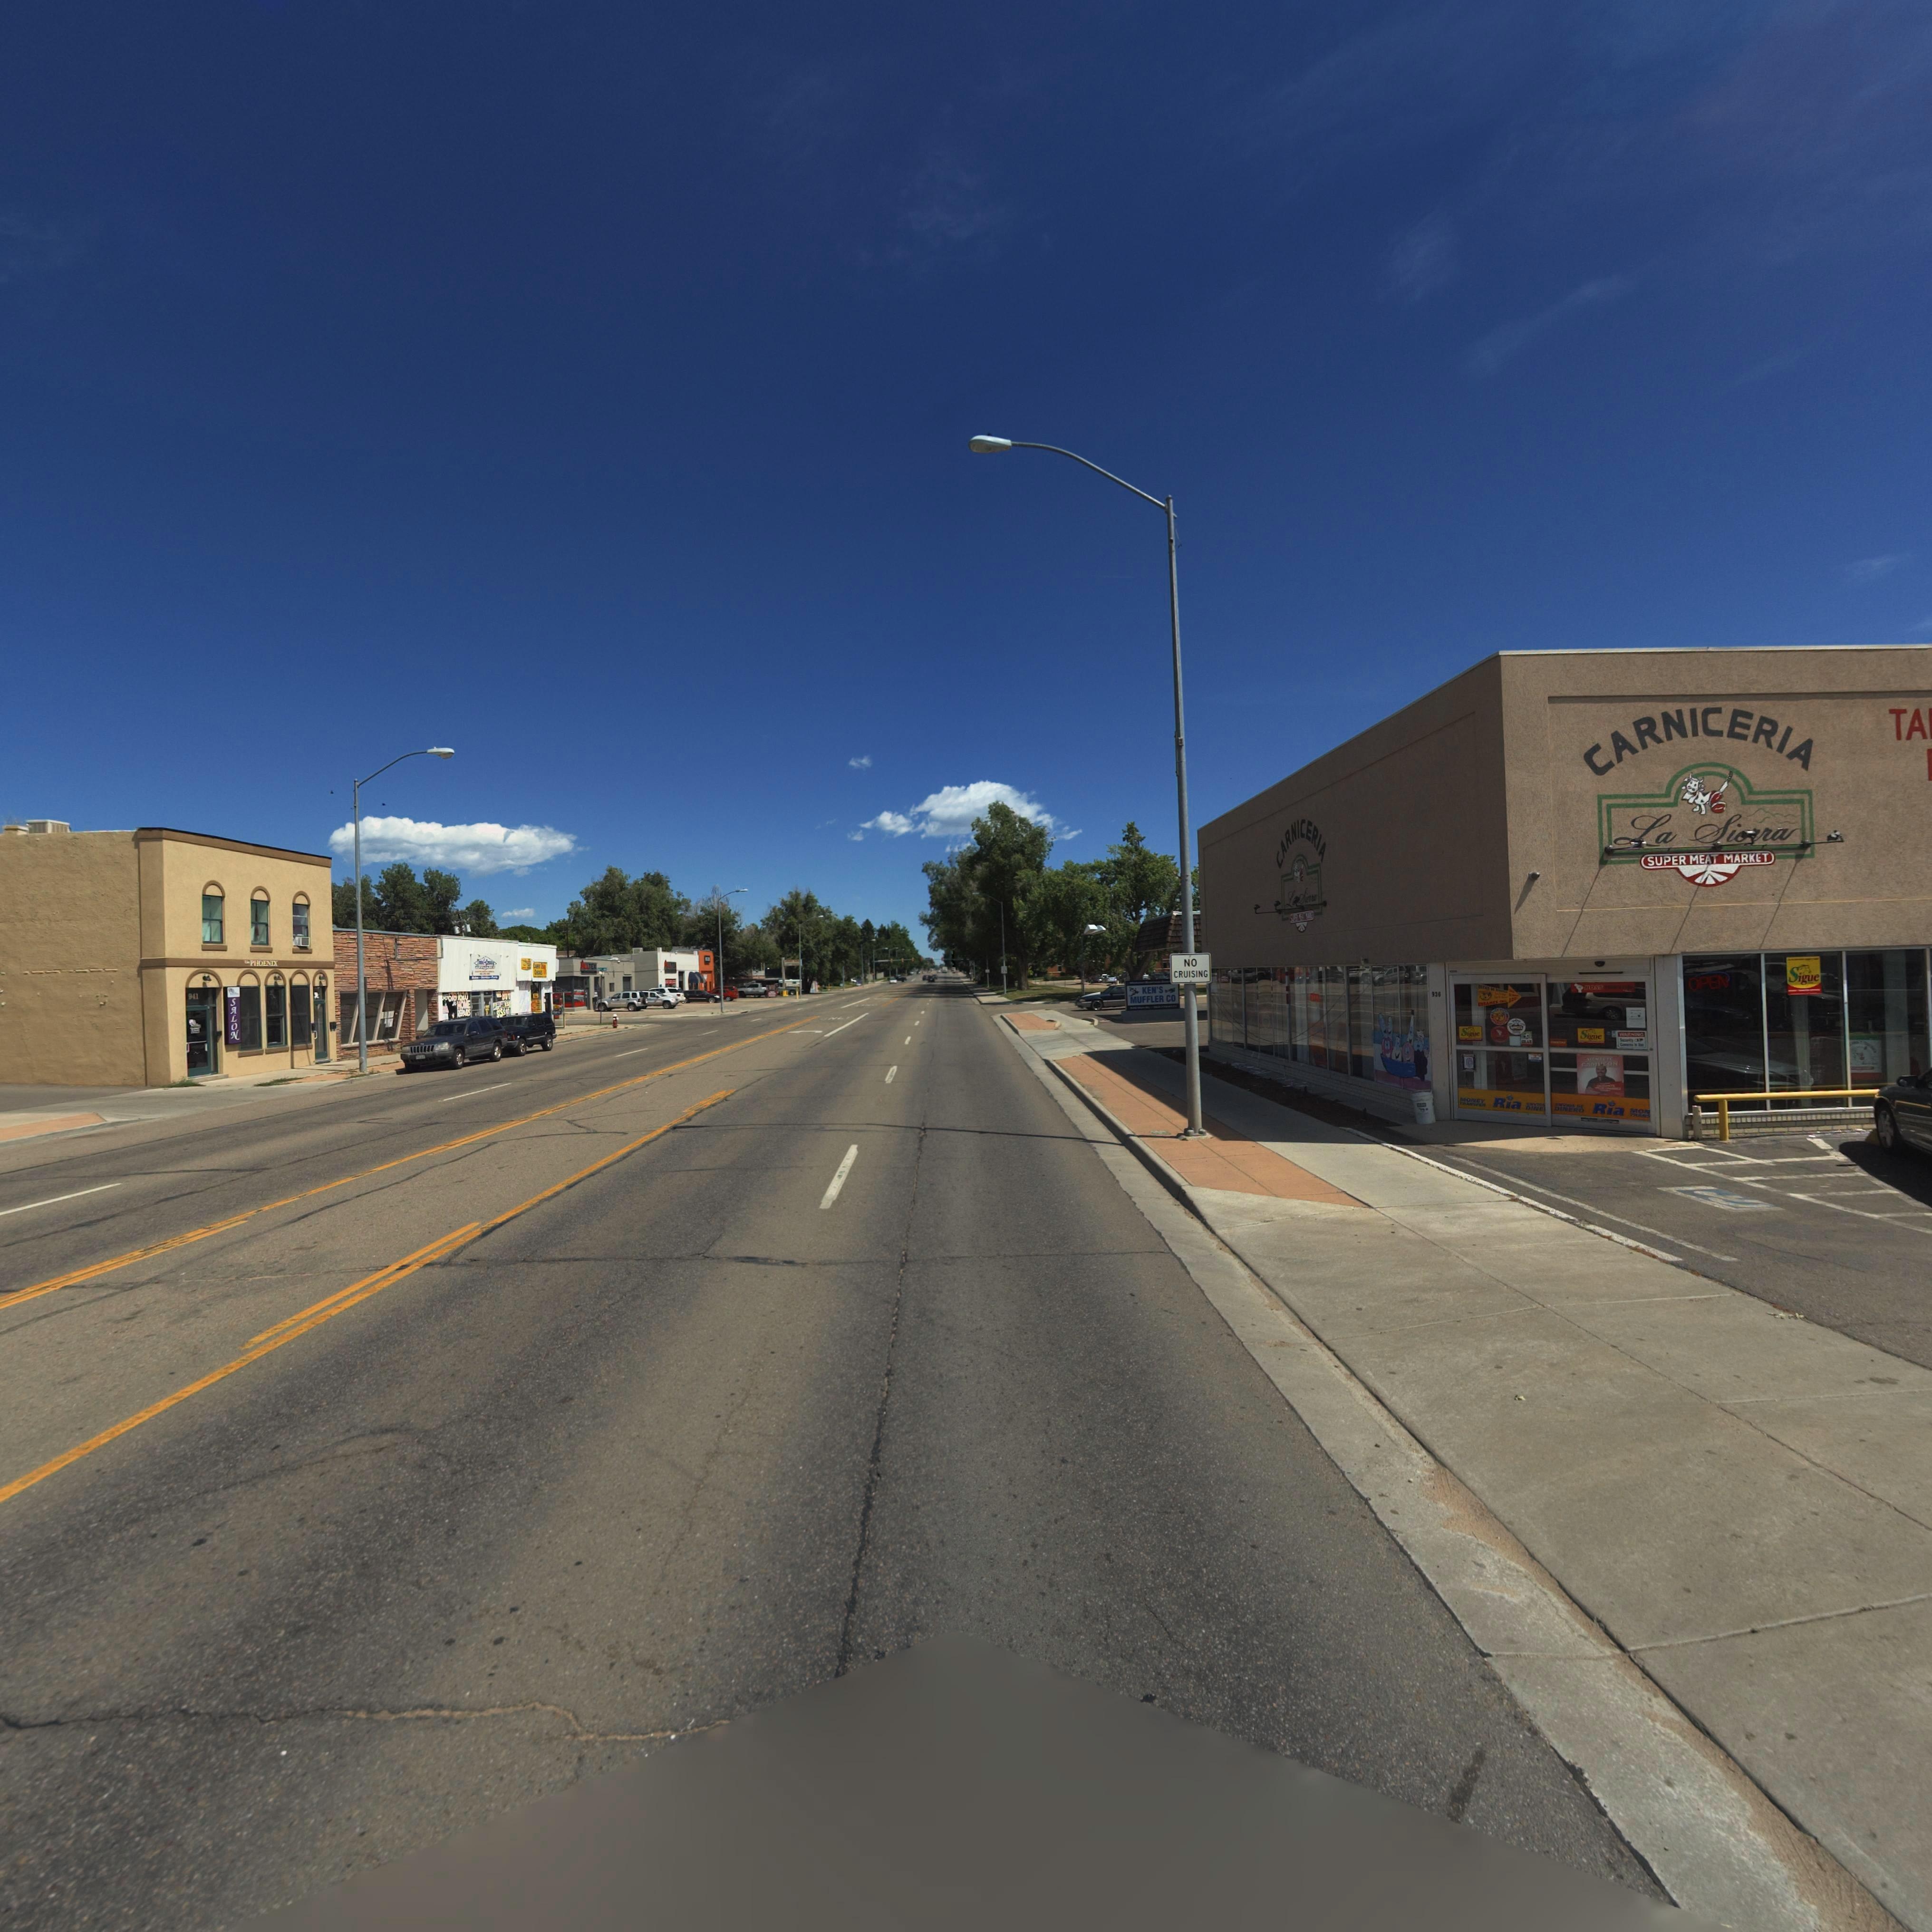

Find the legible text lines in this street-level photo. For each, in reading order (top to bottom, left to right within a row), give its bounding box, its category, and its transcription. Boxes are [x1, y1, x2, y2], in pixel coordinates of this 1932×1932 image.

[1583, 705, 1814, 775] BusinessName: CARNICERIA
[1613, 812, 1802, 847] BusinessName: La Sierra
[1276, 818, 1327, 869] BusinessName: CARNICERIA
[1285, 887, 1316, 908] BusinessName: L*Sierra
[243, 959, 278, 966] BusinessName: The PHOENIX
[580, 959, 596, 969] BusinessName: ALLTEX
[188, 993, 198, 1000] StreetNumber: 941
[1142, 985, 1163, 994] BusinessName: KEN'S
[1130, 994, 1175, 1004] BusinessName: MUFFLER CO
[1431, 990, 1441, 997] StreetNumber: 936